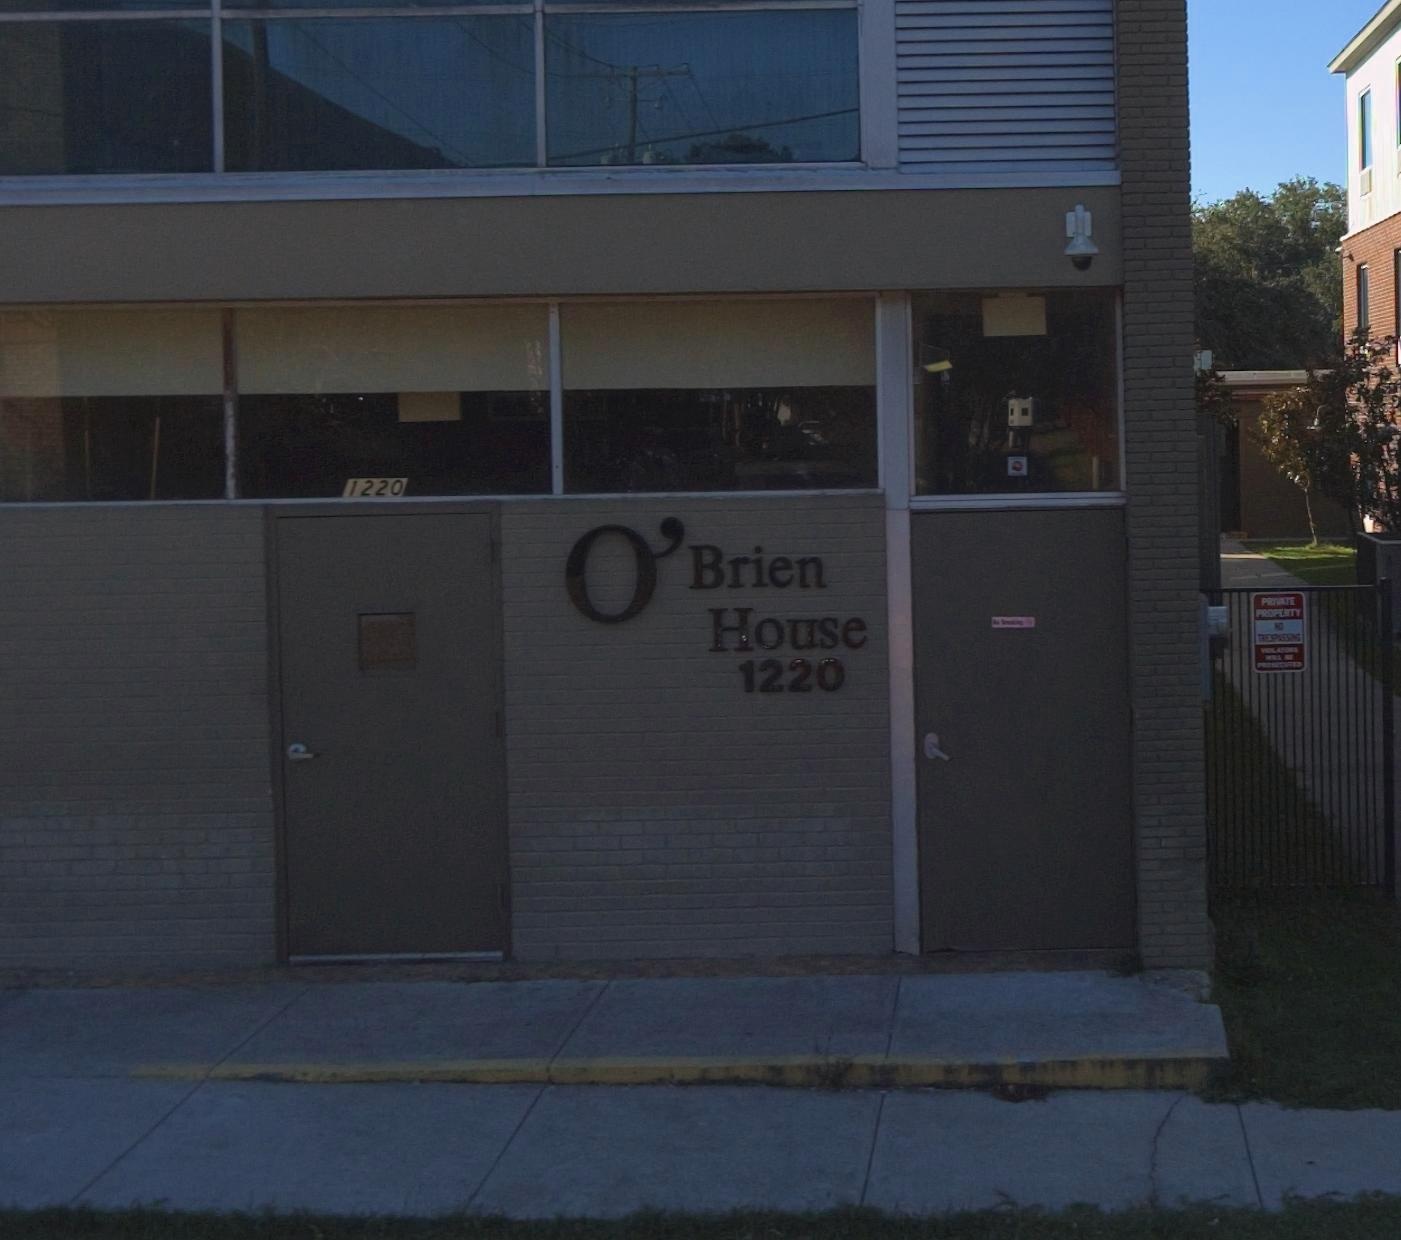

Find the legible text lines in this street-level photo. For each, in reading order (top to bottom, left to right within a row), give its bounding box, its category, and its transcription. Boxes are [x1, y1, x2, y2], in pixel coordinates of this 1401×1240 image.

[343, 478, 408, 499] StreetNumber: 1220
[559, 513, 830, 631] BusinessName: O'Brien
[1259, 596, 1297, 608] None: PRIVATE
[1254, 607, 1303, 619] None: PROPERTY
[702, 603, 873, 656] BusinessName: House
[991, 616, 1025, 629] None: No Smoking
[1273, 621, 1285, 633] None: NO
[1255, 632, 1303, 644] None: TRESPASSING
[1258, 646, 1300, 654] None: VIOLATORS
[1263, 654, 1295, 661] None: WILL BE
[1255, 661, 1303, 670] None: PROSECUTED
[734, 654, 849, 697] StreetNumber: 1220